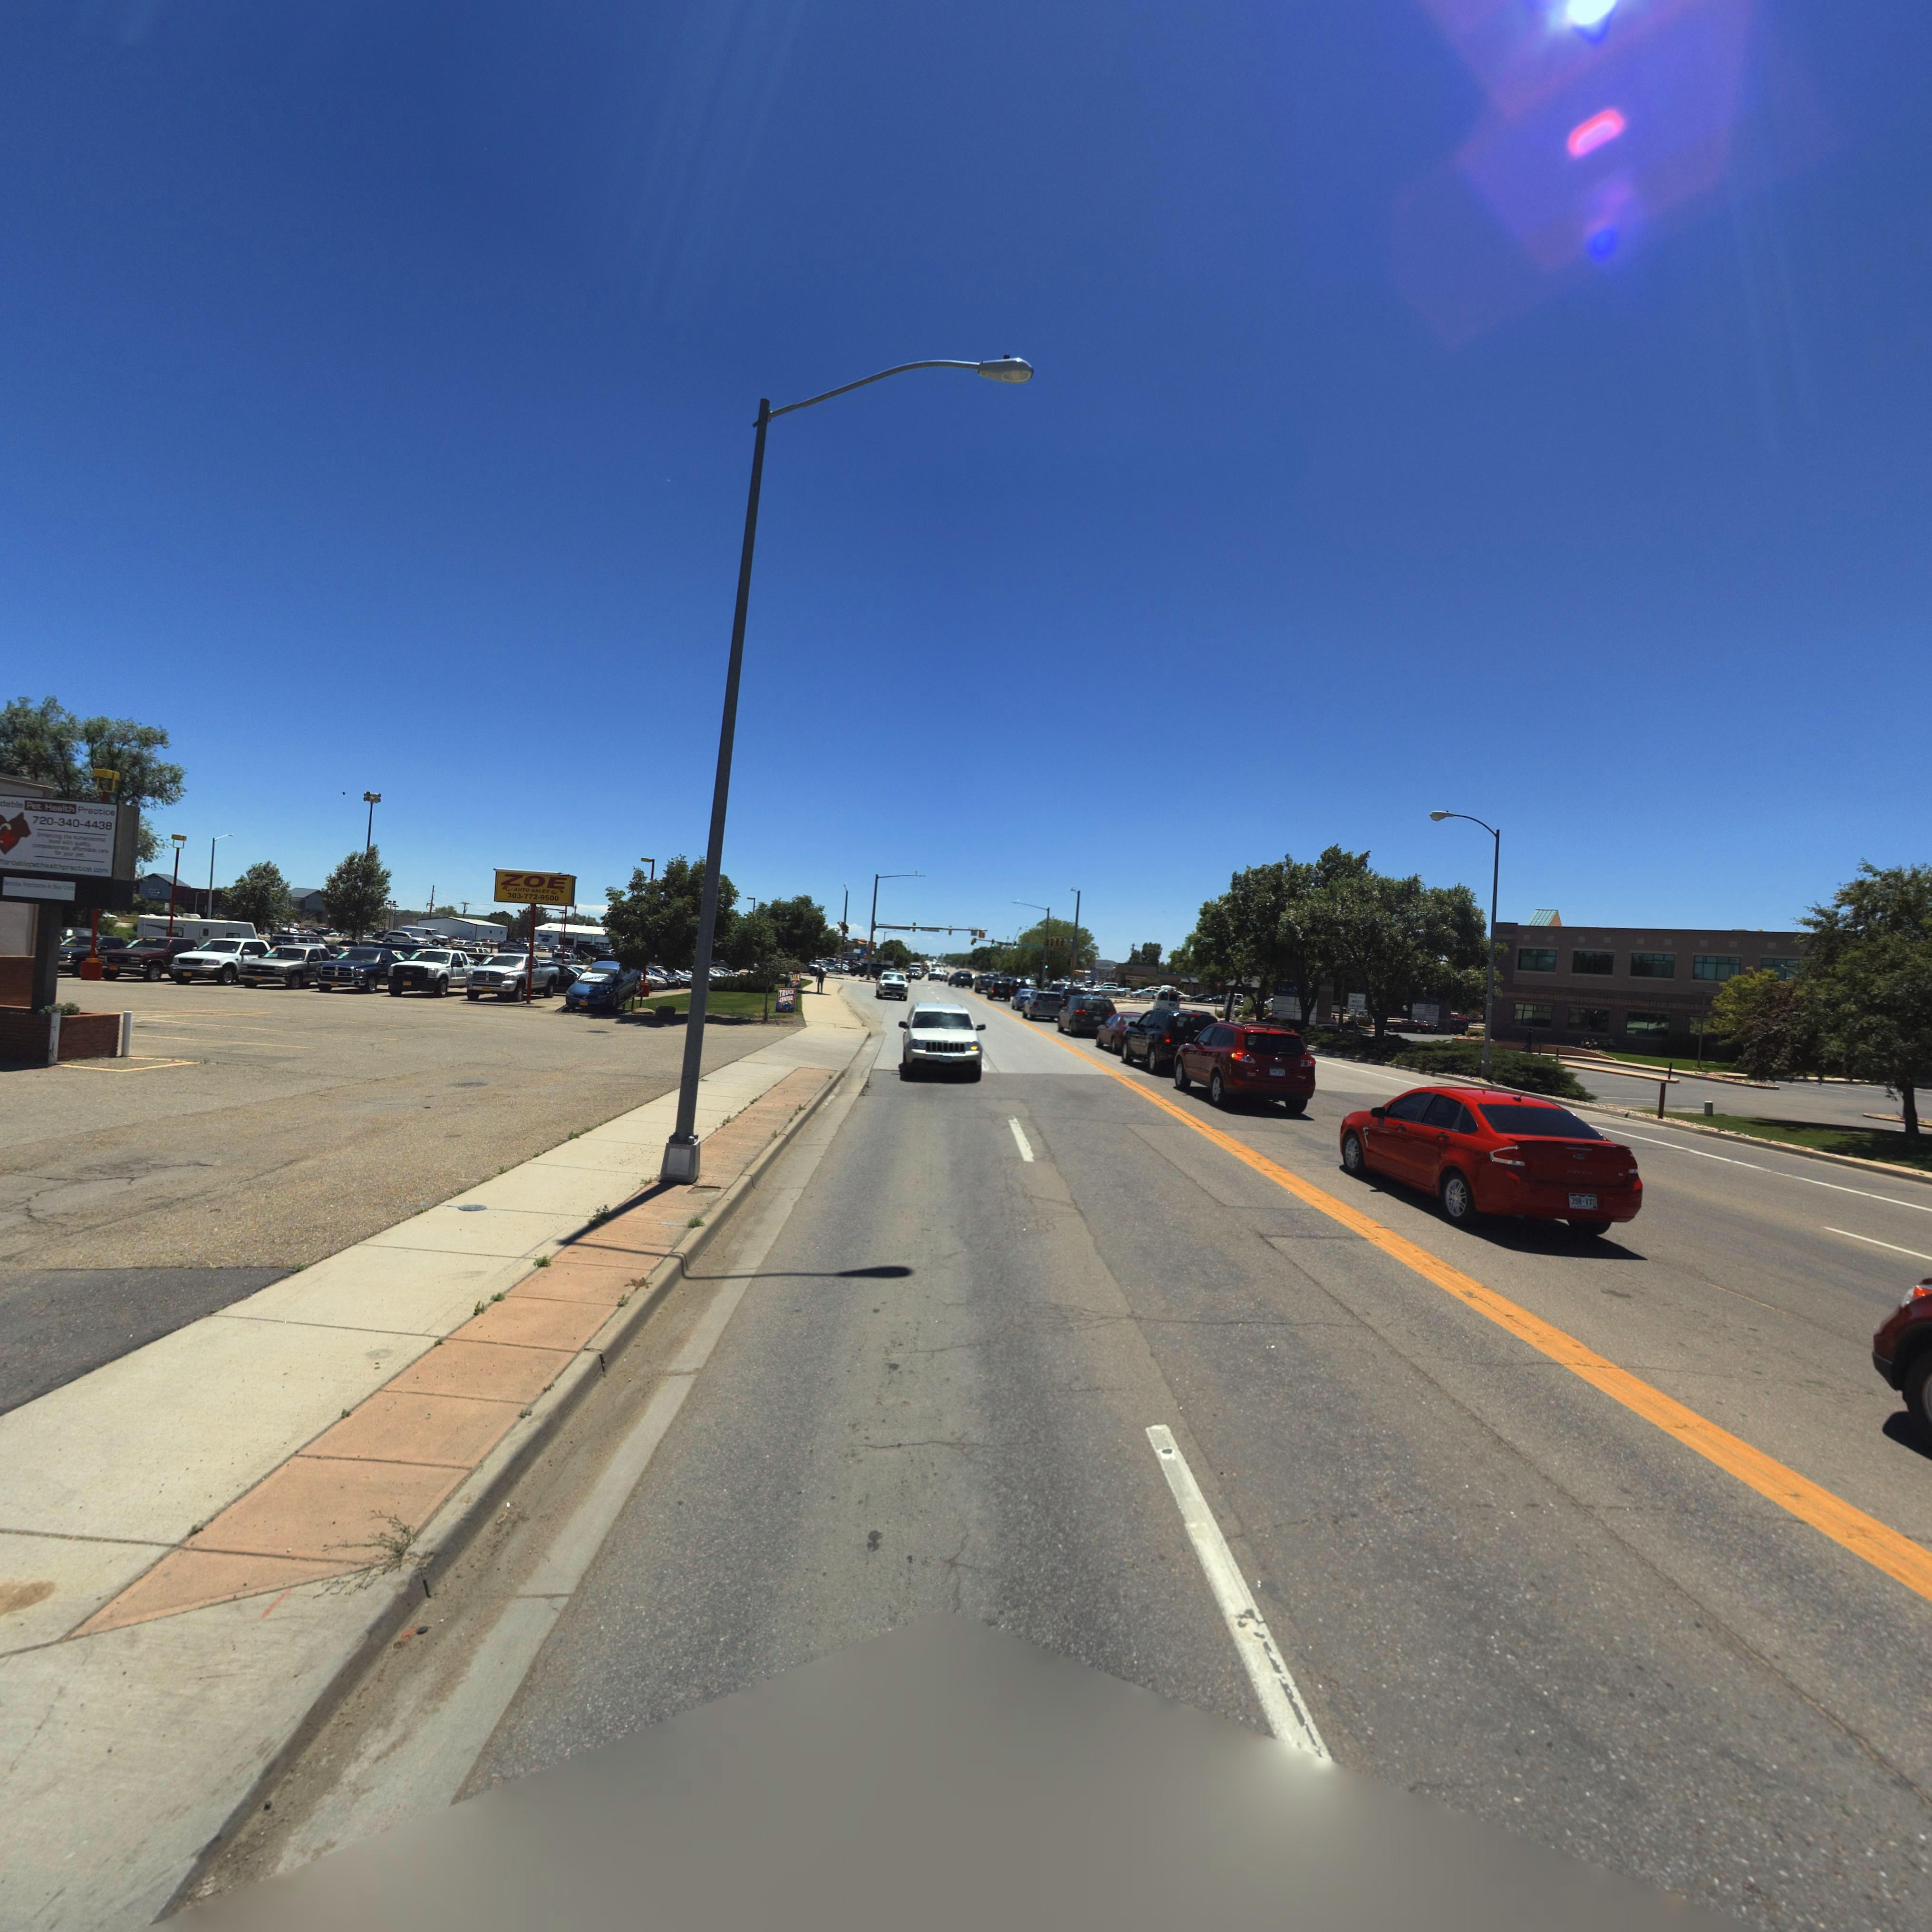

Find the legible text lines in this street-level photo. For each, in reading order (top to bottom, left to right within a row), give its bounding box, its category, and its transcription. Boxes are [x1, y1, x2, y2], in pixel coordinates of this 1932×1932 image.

[5, 801, 116, 816] BusinessName: able Pet Health Practice
[500, 874, 567, 889] BusinessName: ZOE
[512, 887, 550, 893] BusinessName: AUTO SALES